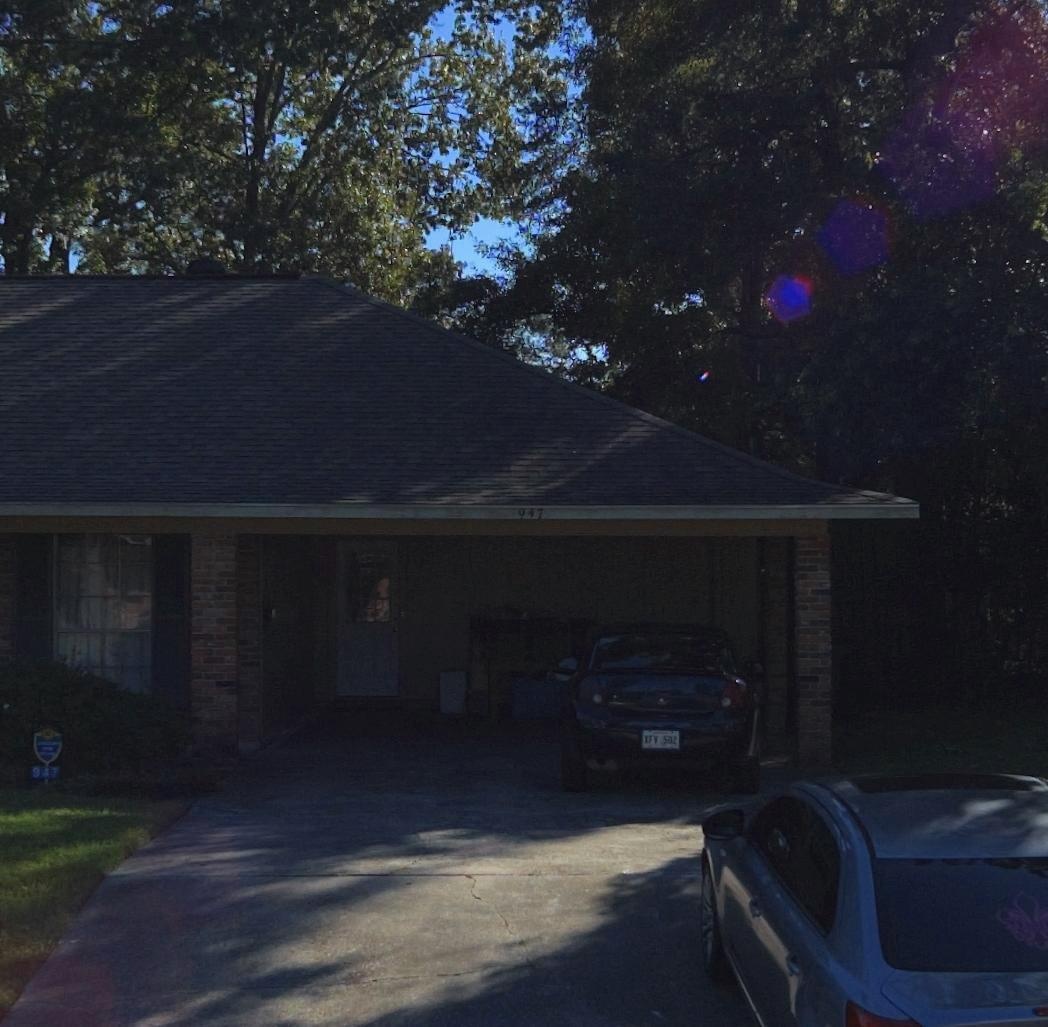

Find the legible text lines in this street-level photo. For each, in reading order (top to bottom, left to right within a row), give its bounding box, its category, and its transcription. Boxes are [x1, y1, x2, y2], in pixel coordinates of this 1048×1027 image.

[516, 507, 545, 520] StreetNumber: 947
[646, 732, 679, 747] None: TV*5*2
[31, 765, 60, 780] StreetNumber: 947